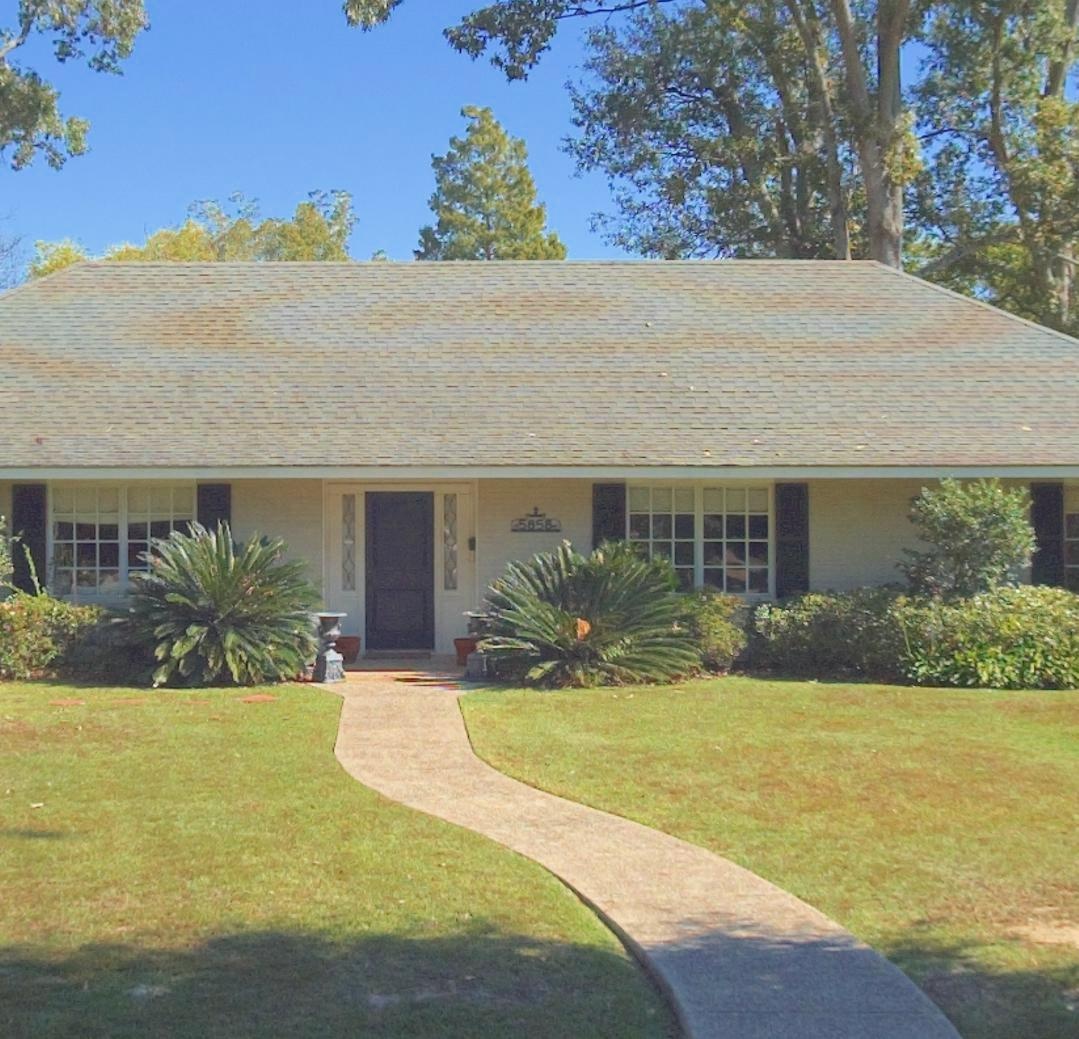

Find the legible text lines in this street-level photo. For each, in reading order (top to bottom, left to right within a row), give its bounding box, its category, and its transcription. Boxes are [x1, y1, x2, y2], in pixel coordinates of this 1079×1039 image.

[516, 517, 554, 533] StreetNumber: 5858